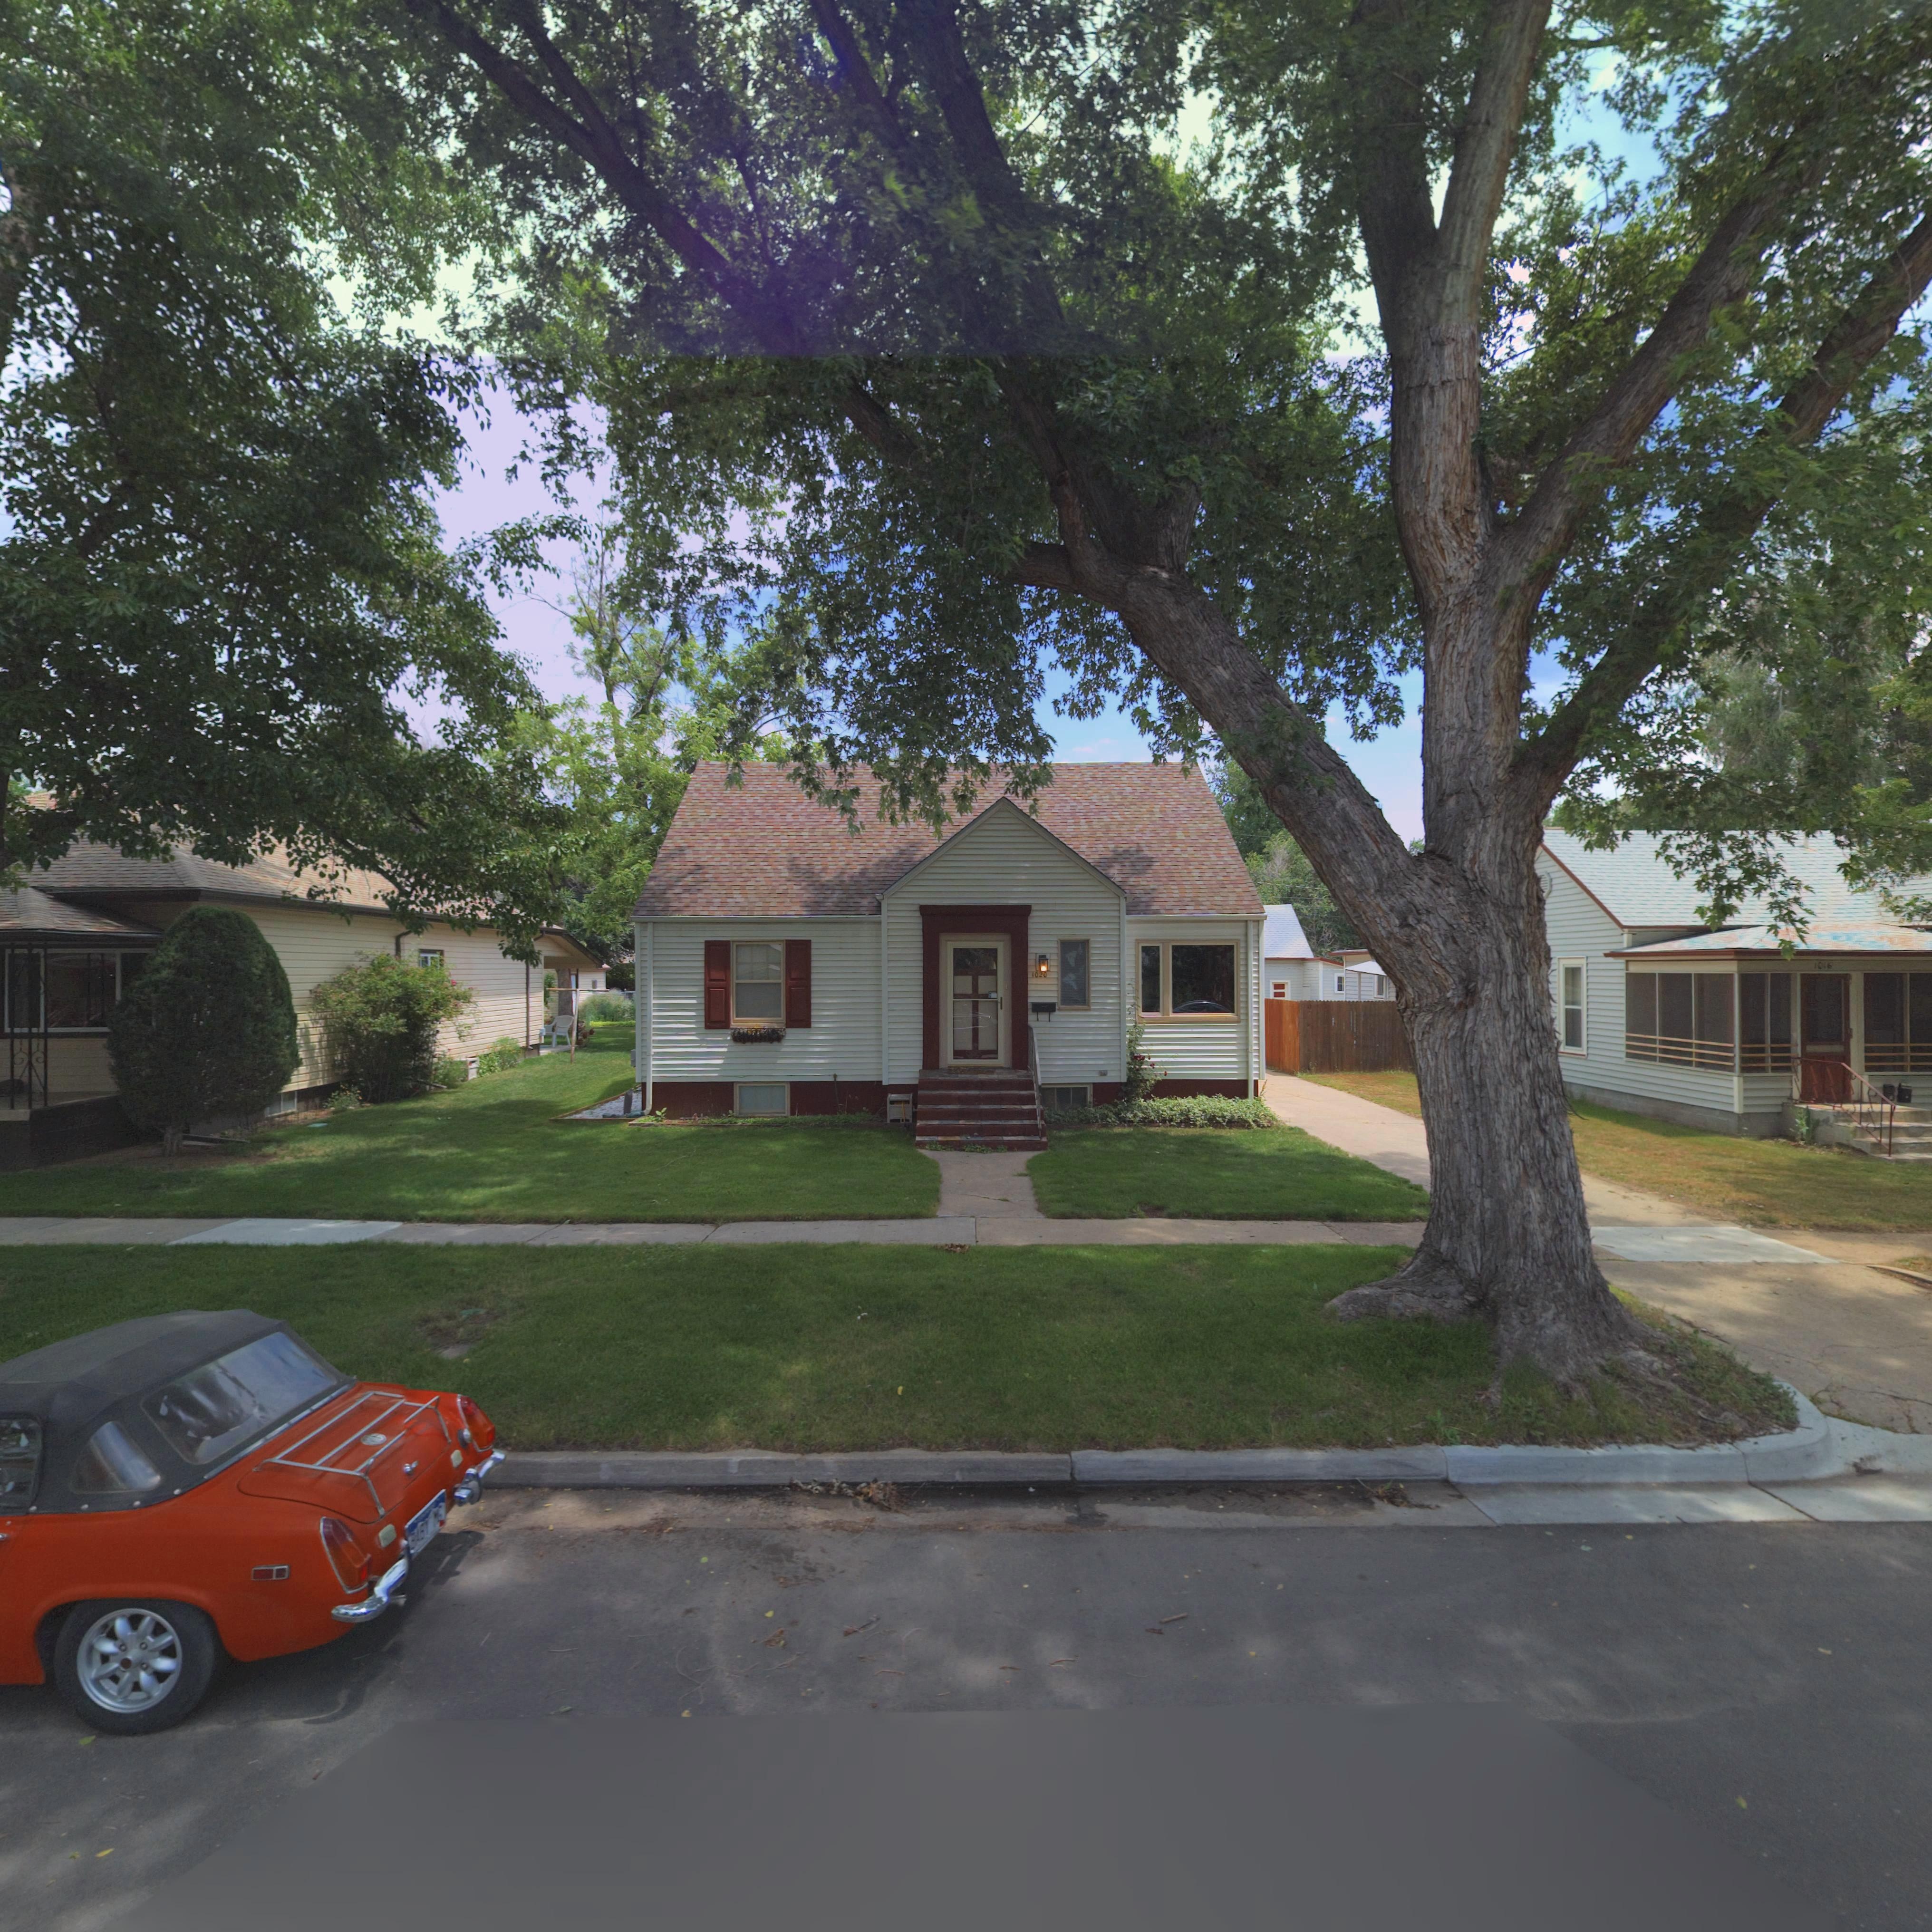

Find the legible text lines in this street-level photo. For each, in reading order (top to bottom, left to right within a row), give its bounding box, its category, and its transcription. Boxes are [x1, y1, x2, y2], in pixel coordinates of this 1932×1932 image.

[1813, 960, 1834, 970] StreetNumber: 1016
[1032, 972, 1047, 978] StreetNumber: 1020